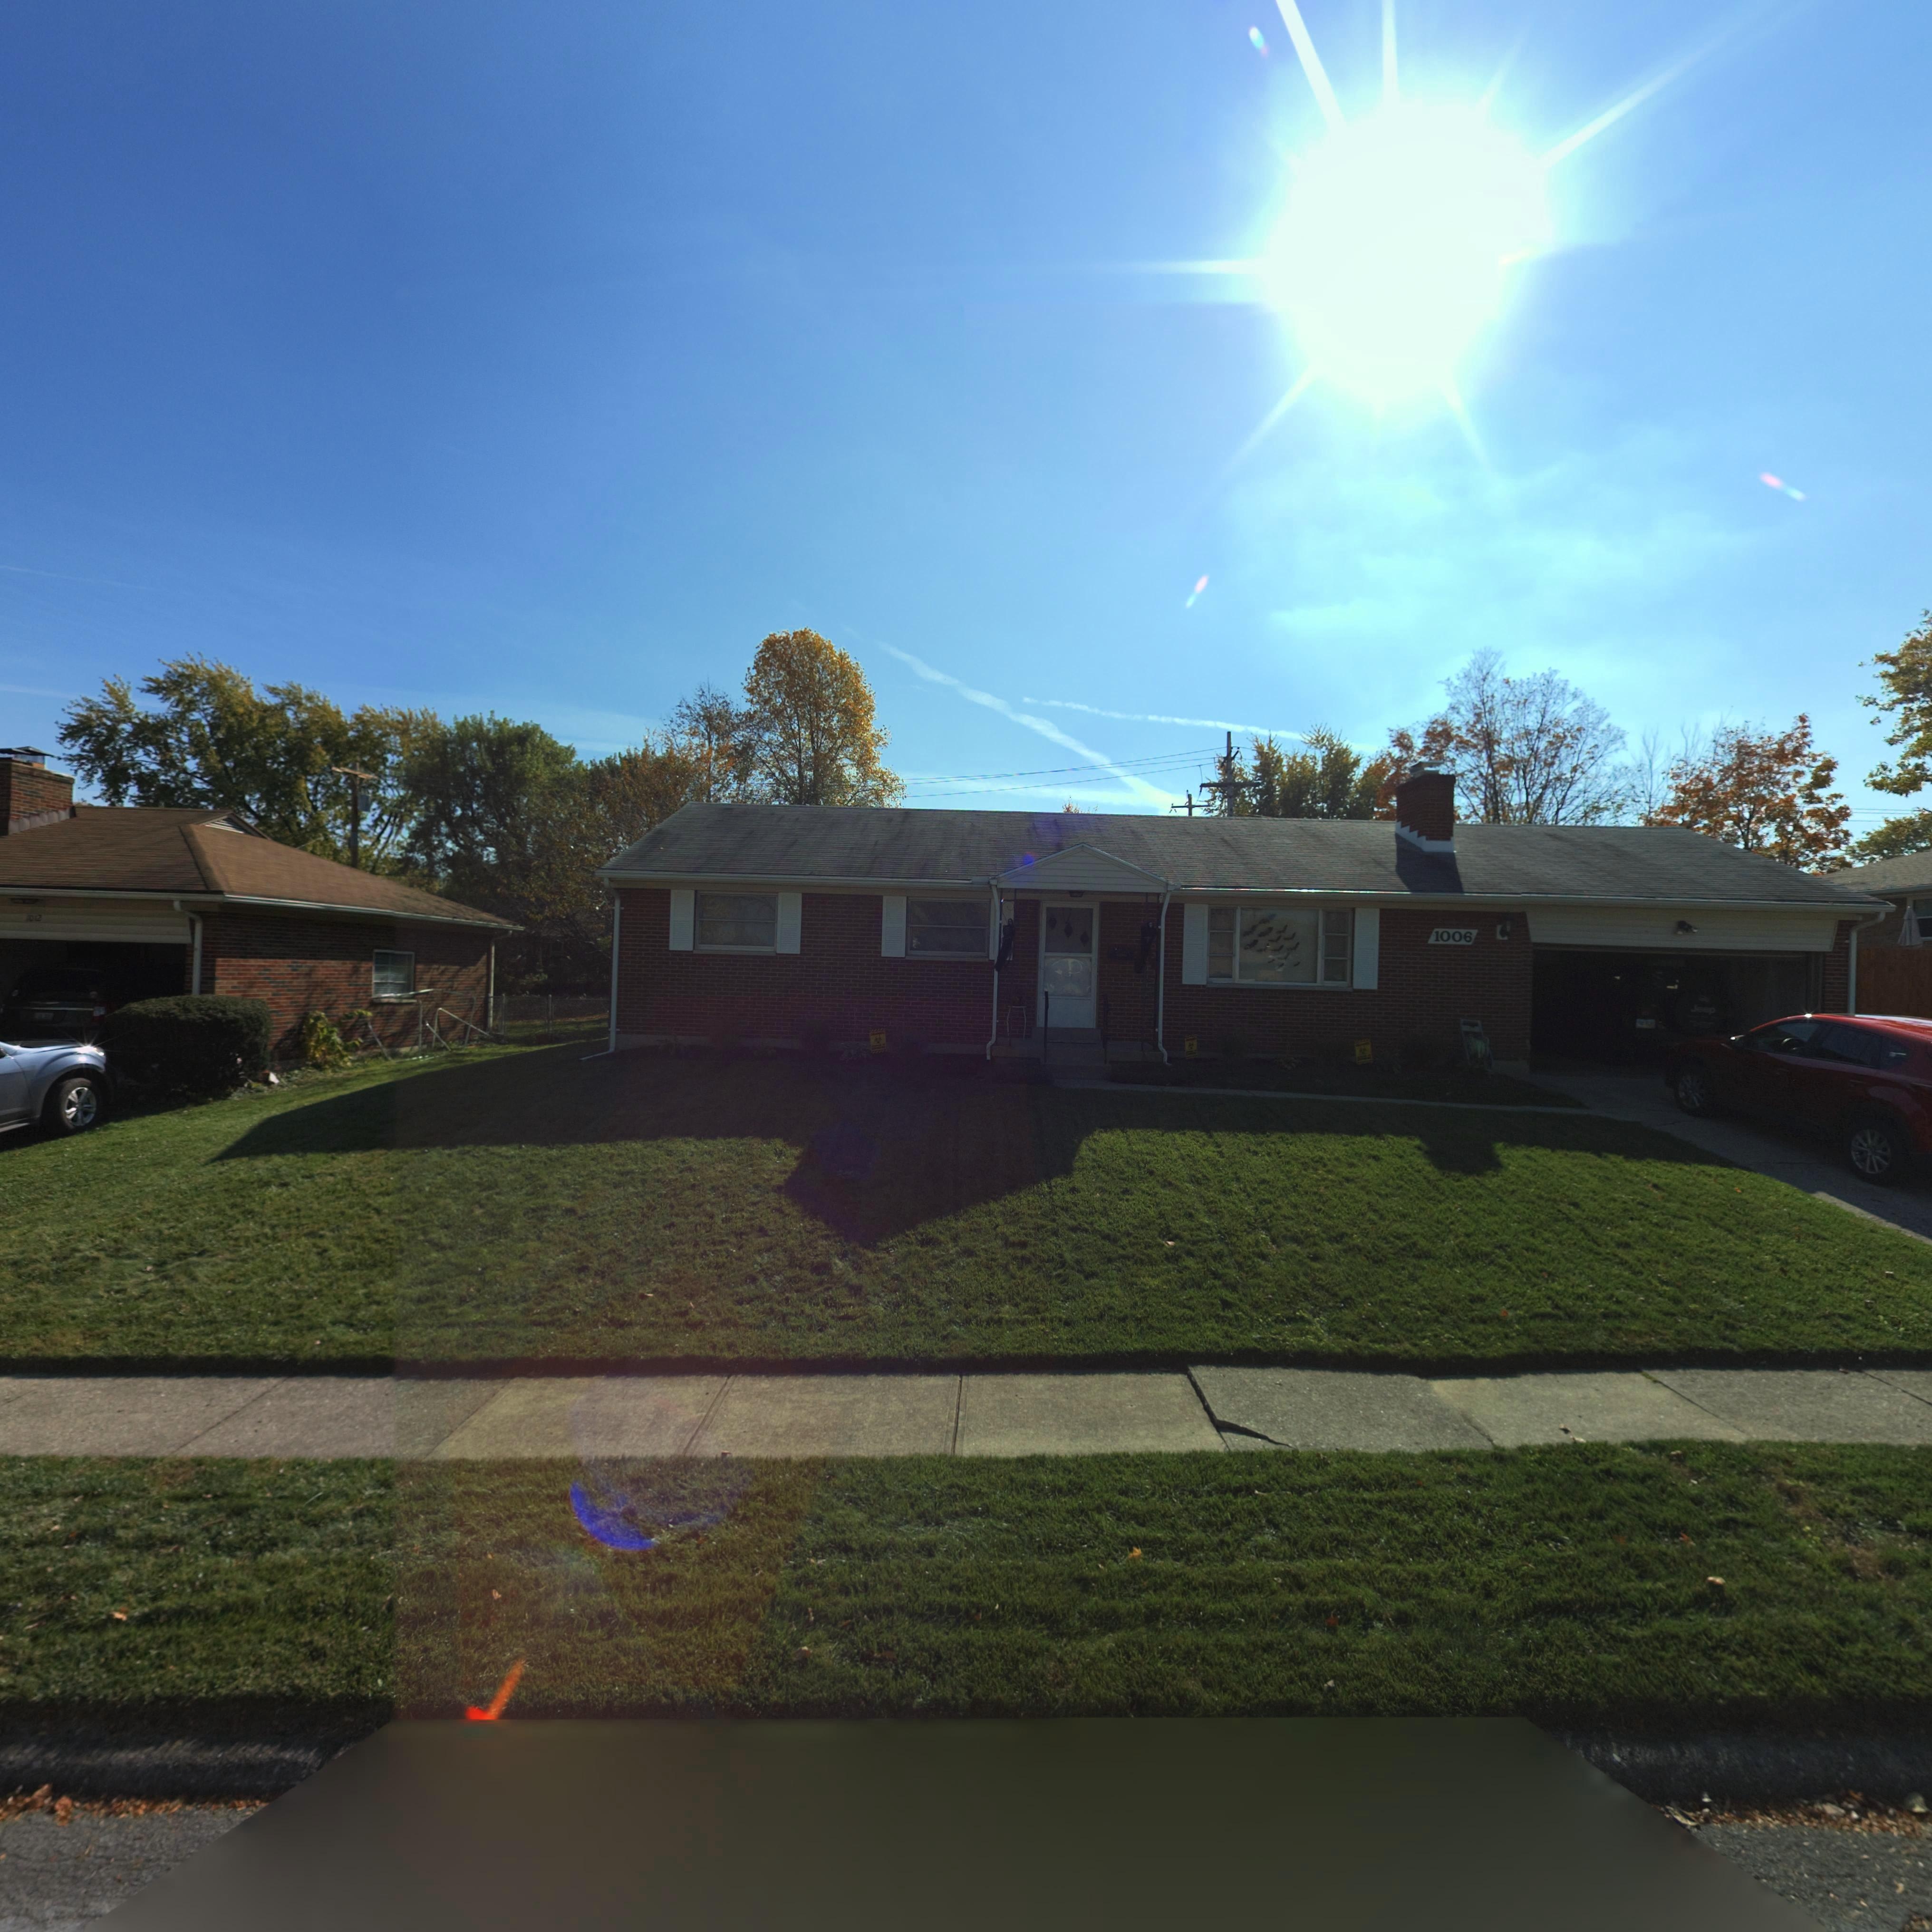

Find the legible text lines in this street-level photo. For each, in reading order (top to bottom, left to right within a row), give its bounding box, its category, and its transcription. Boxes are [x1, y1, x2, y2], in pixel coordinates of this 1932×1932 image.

[25, 912, 44, 924] StreetNumber: 1012
[1433, 929, 1473, 944] StreetNumber: 1006
[1690, 1003, 1717, 1017] None: Jeep